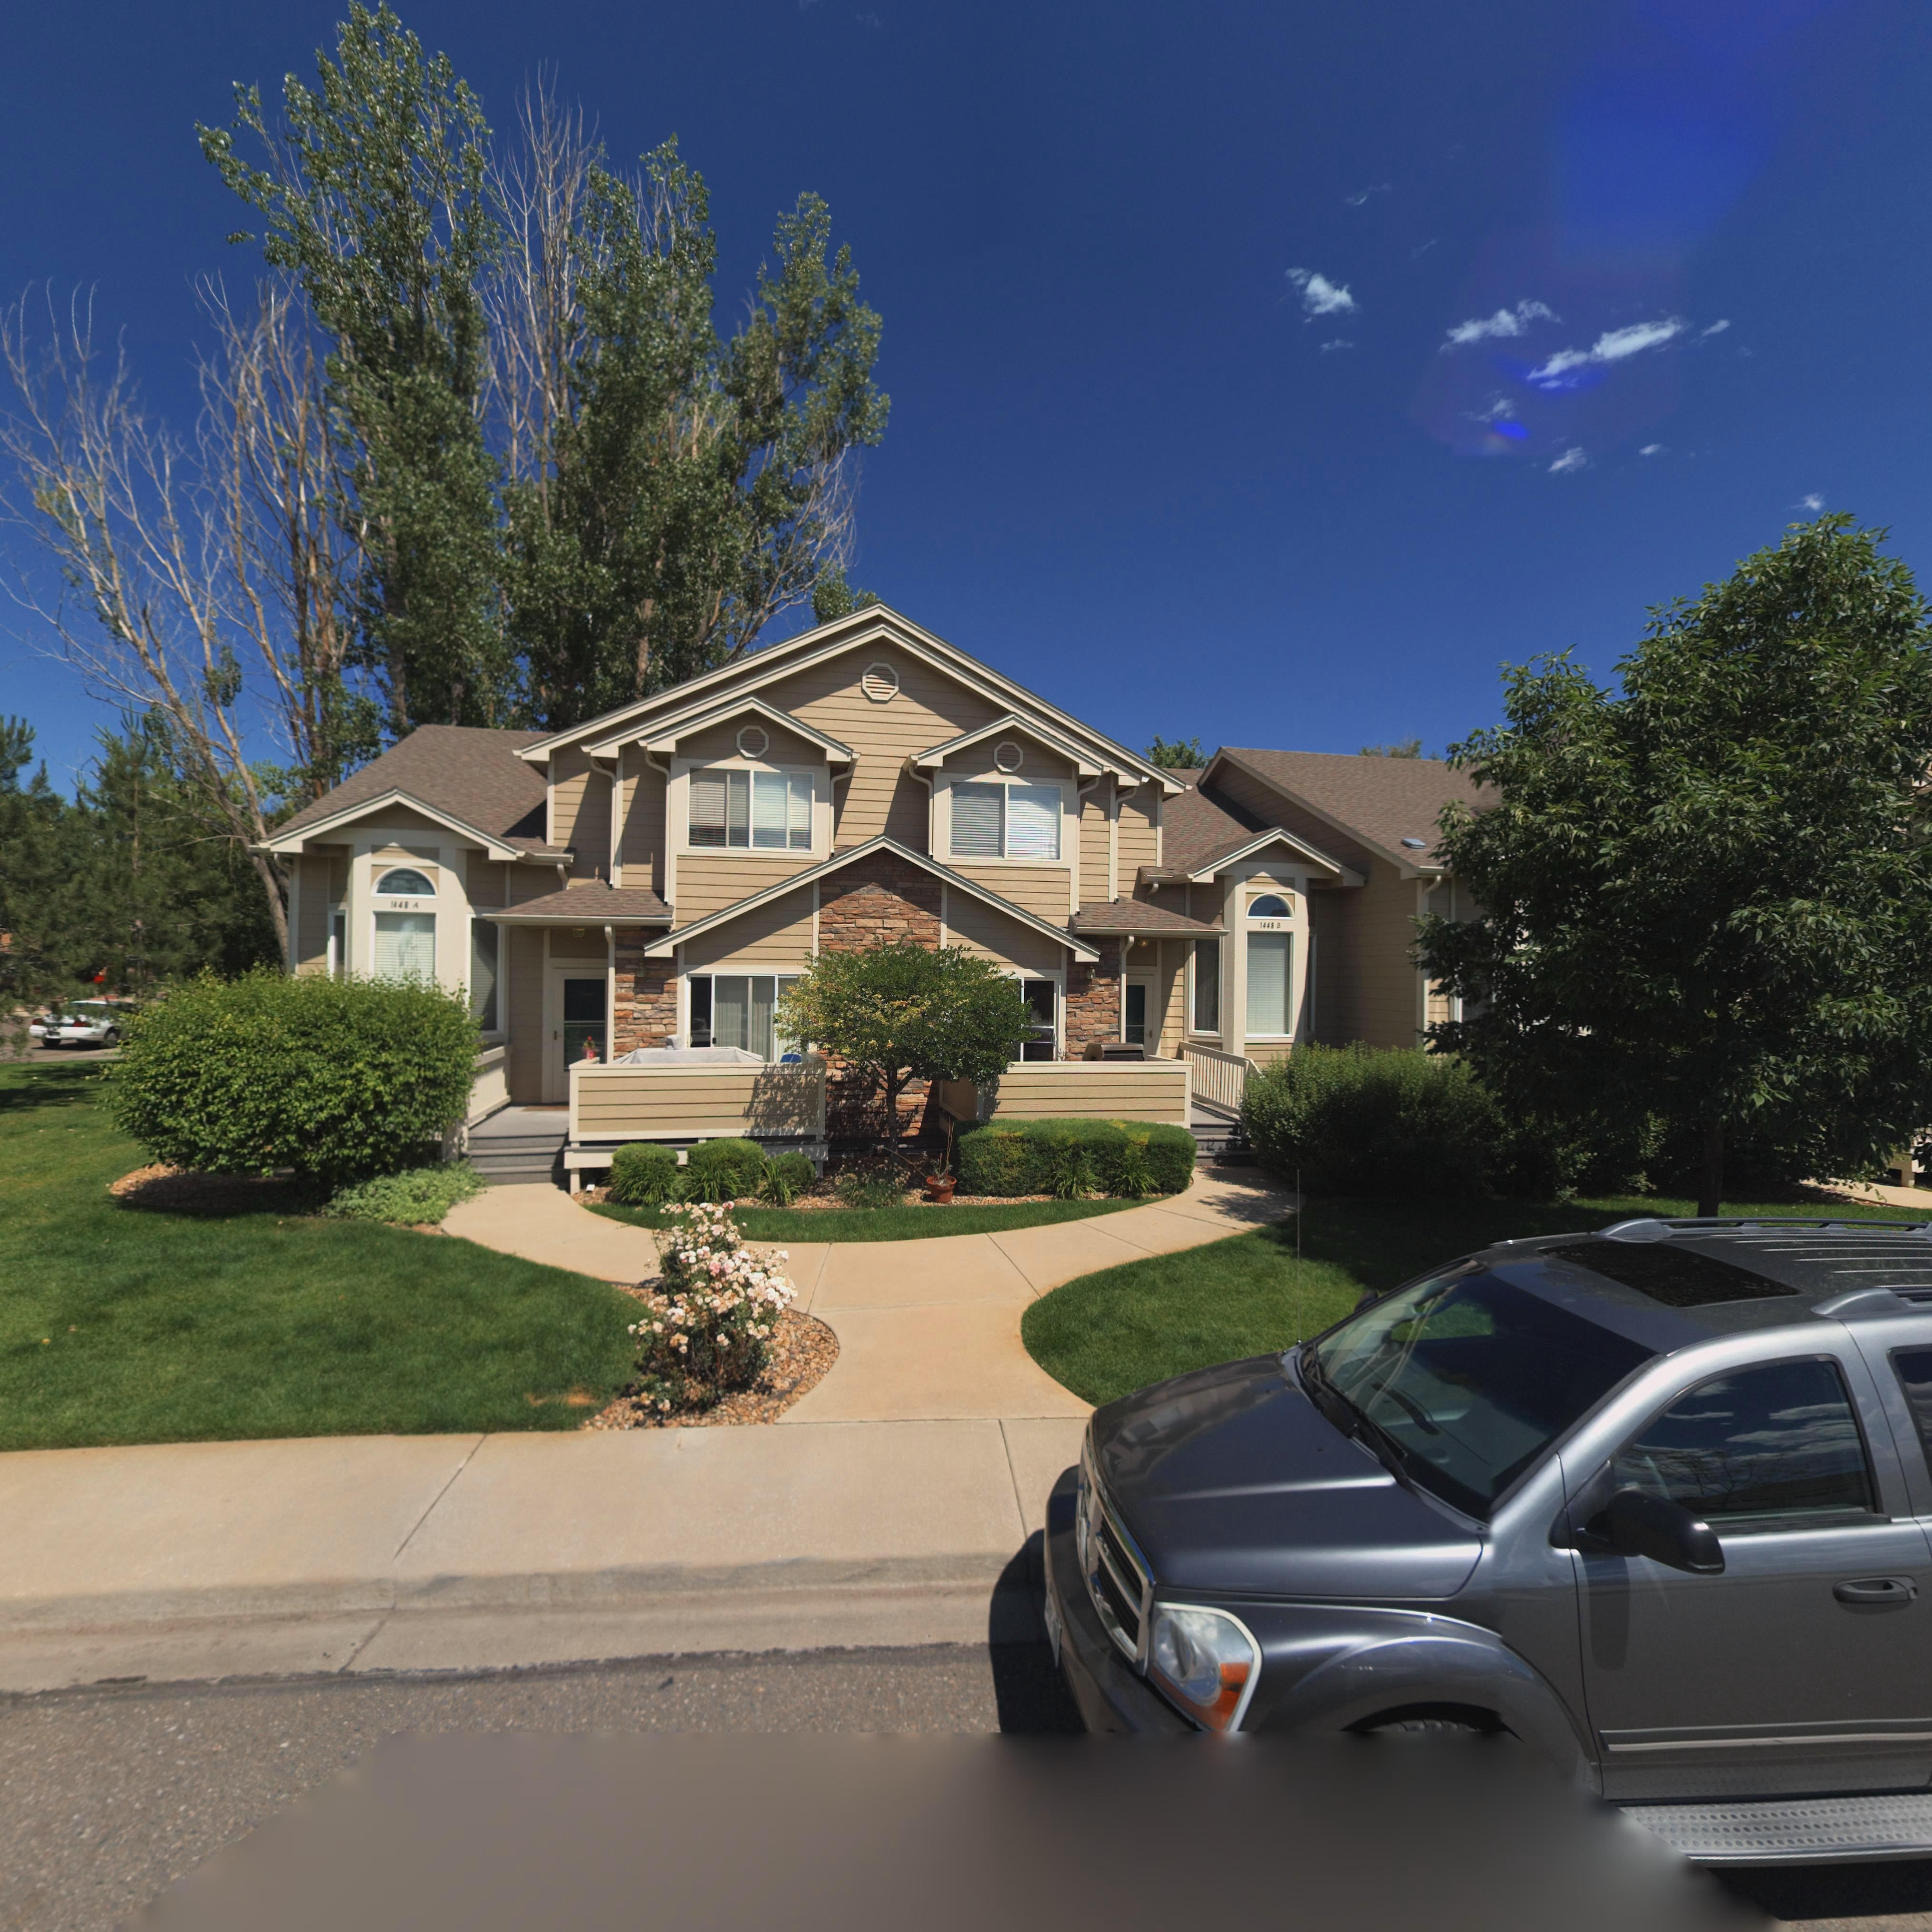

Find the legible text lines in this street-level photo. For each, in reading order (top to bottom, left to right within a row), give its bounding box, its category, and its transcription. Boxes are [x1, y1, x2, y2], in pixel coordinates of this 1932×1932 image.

[390, 900, 409, 909] StreetNumber: 1448
[412, 901, 419, 909] SecondaryUnitDesignator: A
[1260, 921, 1275, 929] StreetNumber: 1448
[1276, 922, 1281, 928] SecondaryUnitDesignator: B